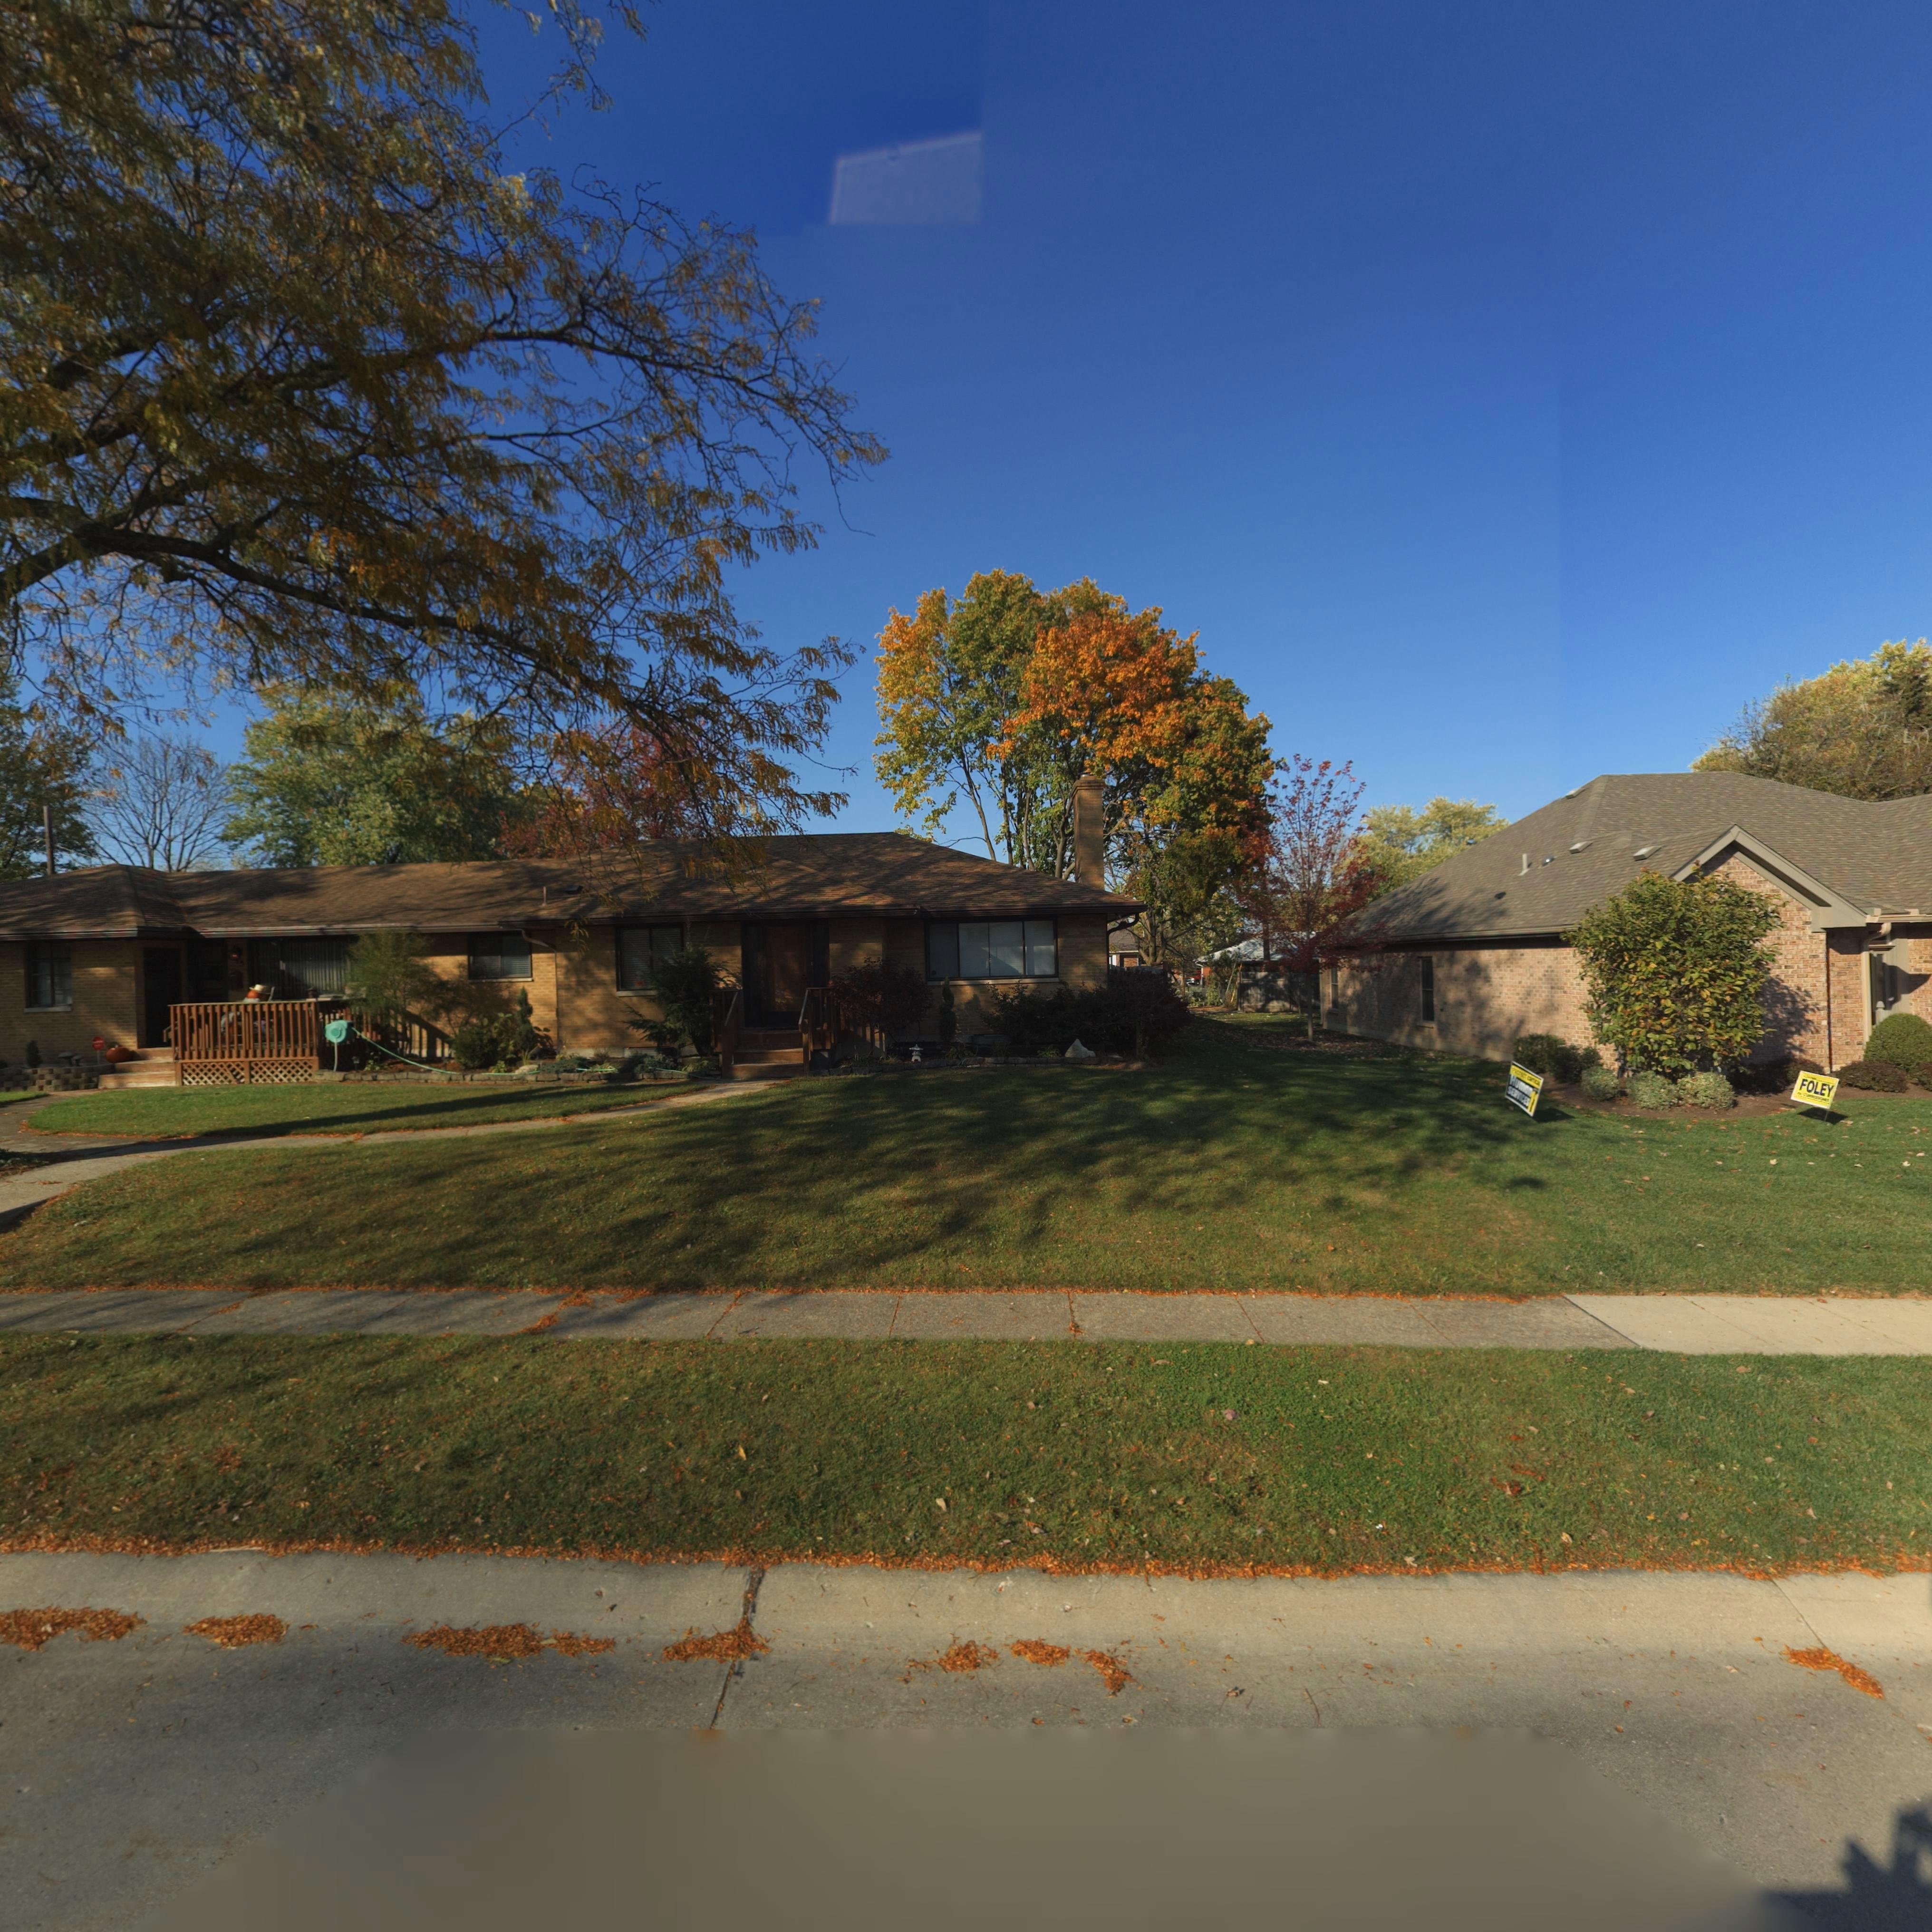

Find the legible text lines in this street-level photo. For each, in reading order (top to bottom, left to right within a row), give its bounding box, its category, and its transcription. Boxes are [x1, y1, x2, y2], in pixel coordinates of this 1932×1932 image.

[239, 959, 245, 967] StreetNumber: 5